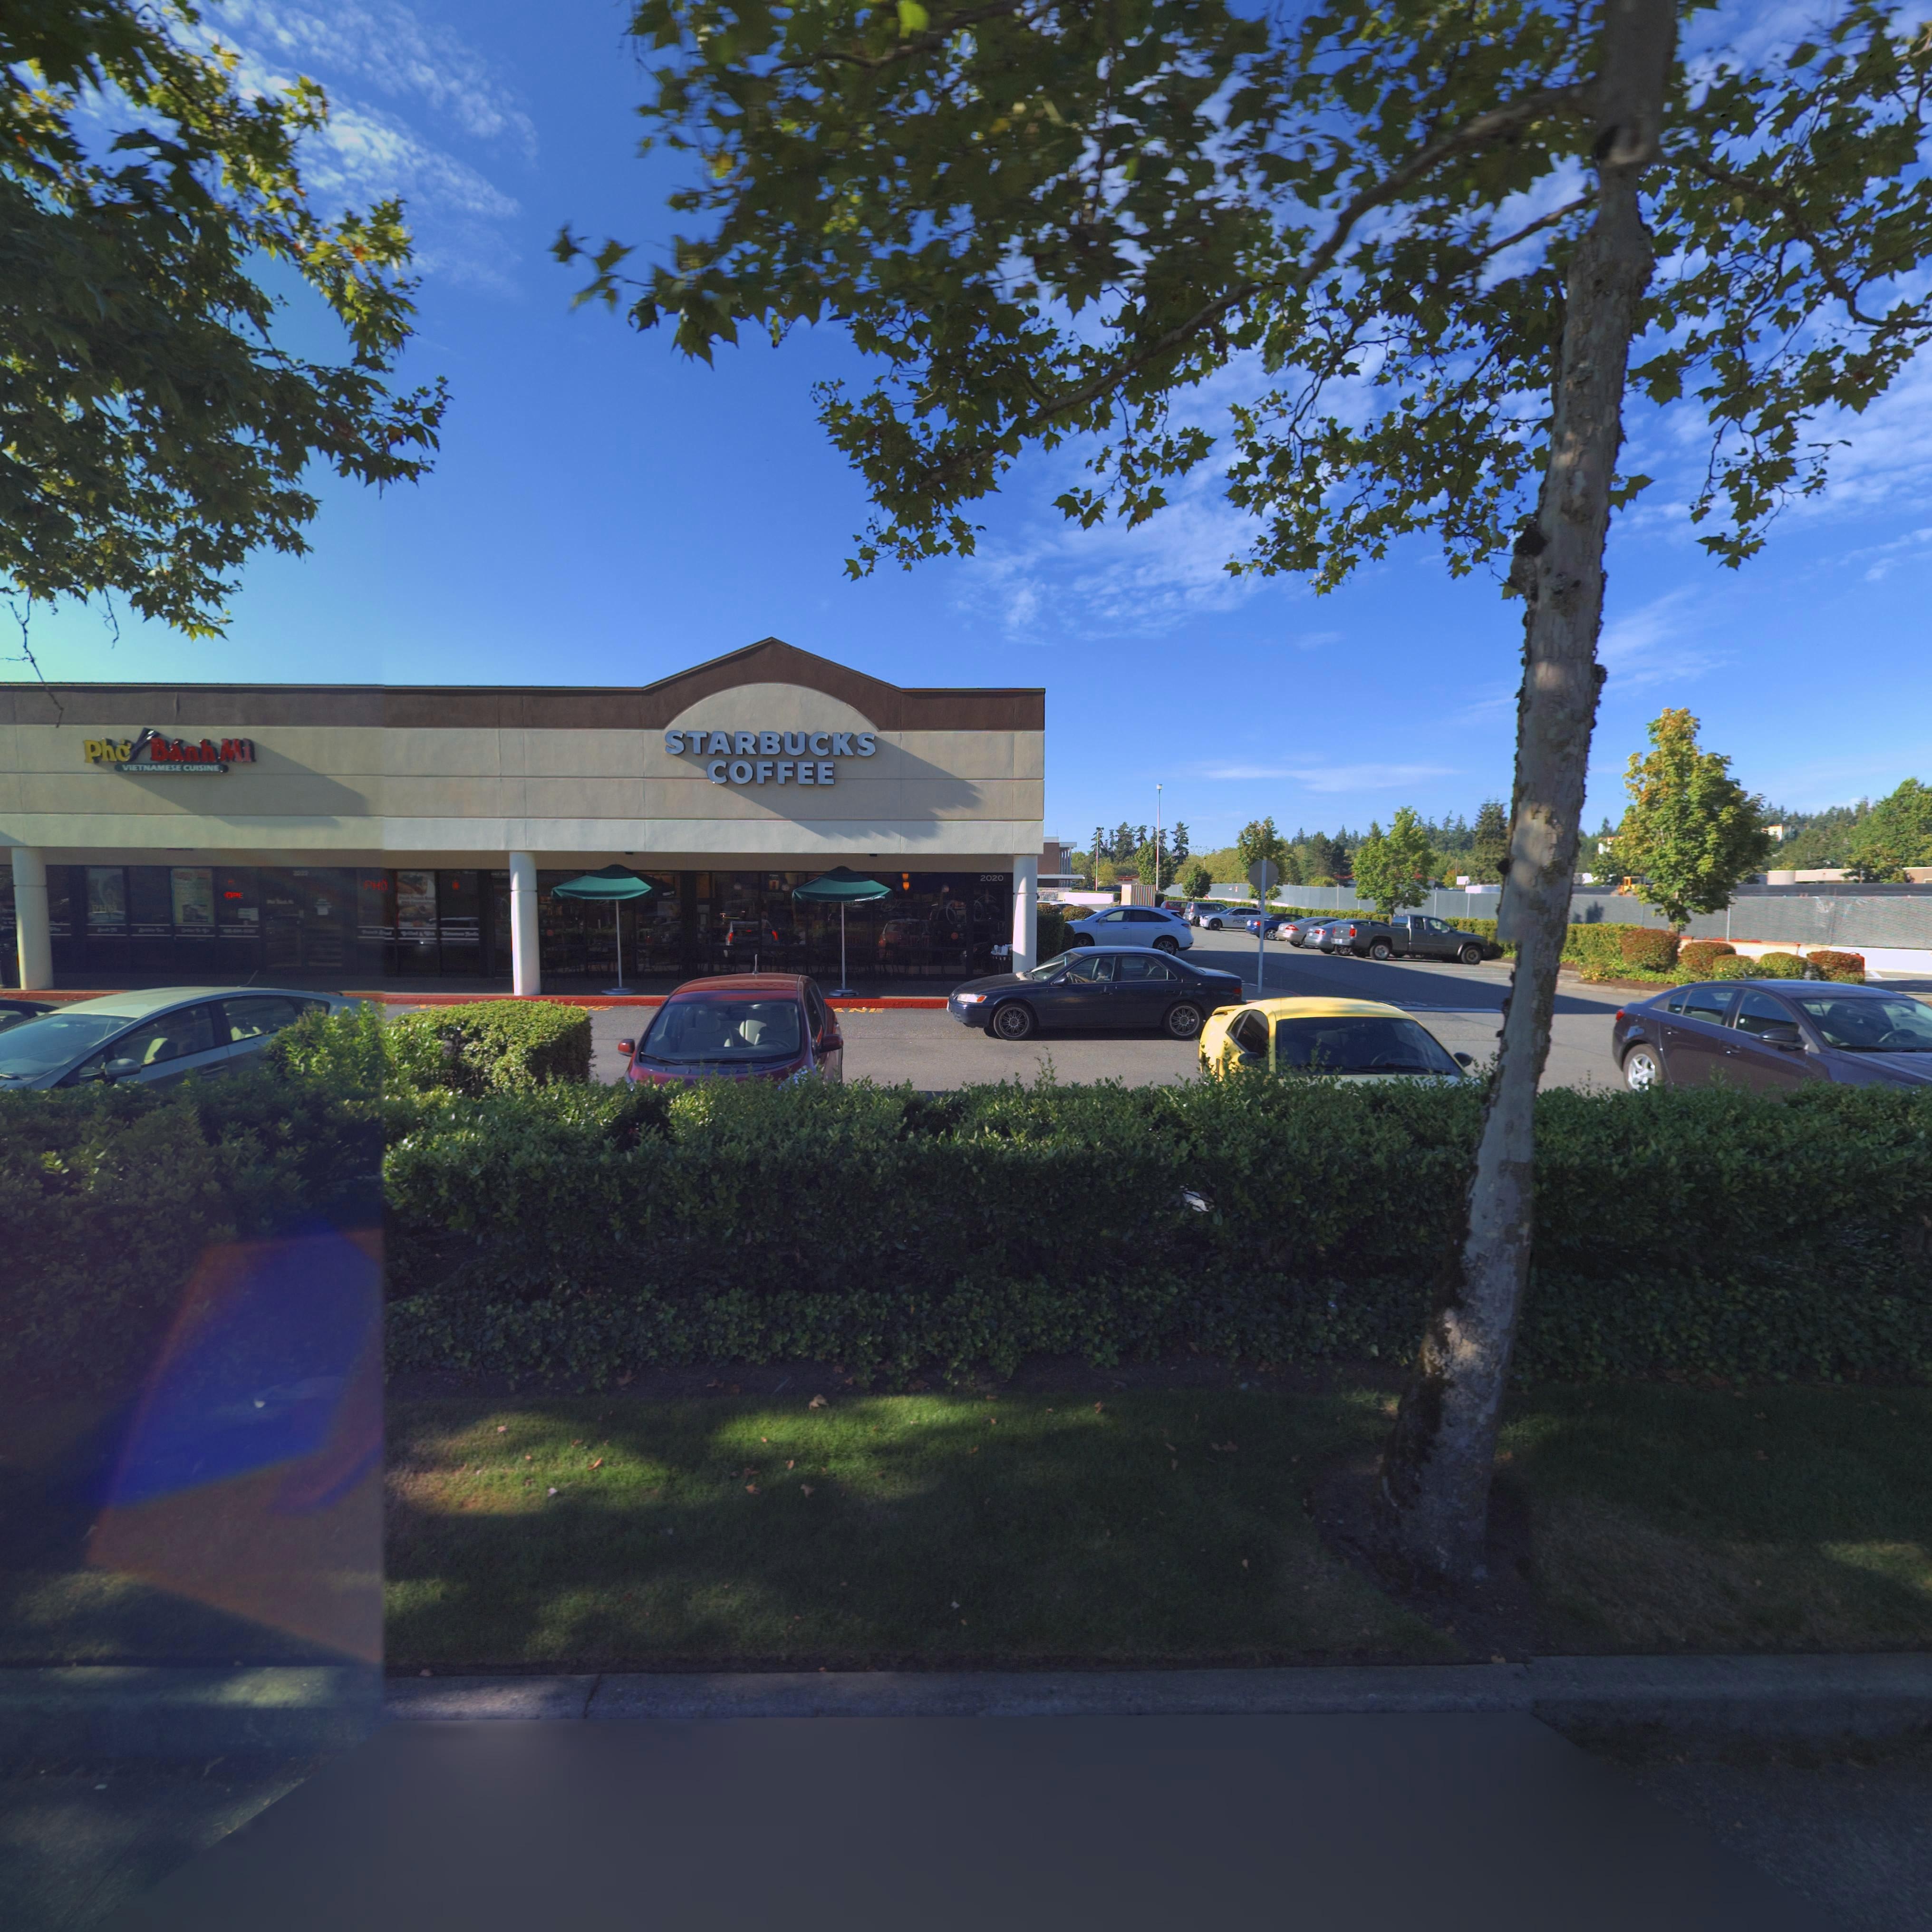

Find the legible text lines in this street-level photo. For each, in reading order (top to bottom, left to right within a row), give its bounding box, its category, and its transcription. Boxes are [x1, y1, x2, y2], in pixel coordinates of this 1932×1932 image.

[81, 726, 261, 766] BusinessName: Ph* * B*nh Mi
[665, 730, 877, 757] BusinessName: STARBUCKS
[121, 764, 220, 772] BusinessName: VIETNAMESE CUISINE
[706, 760, 838, 787] BusinessName: COFFEE
[980, 875, 1004, 881] StreetNumber: 2020